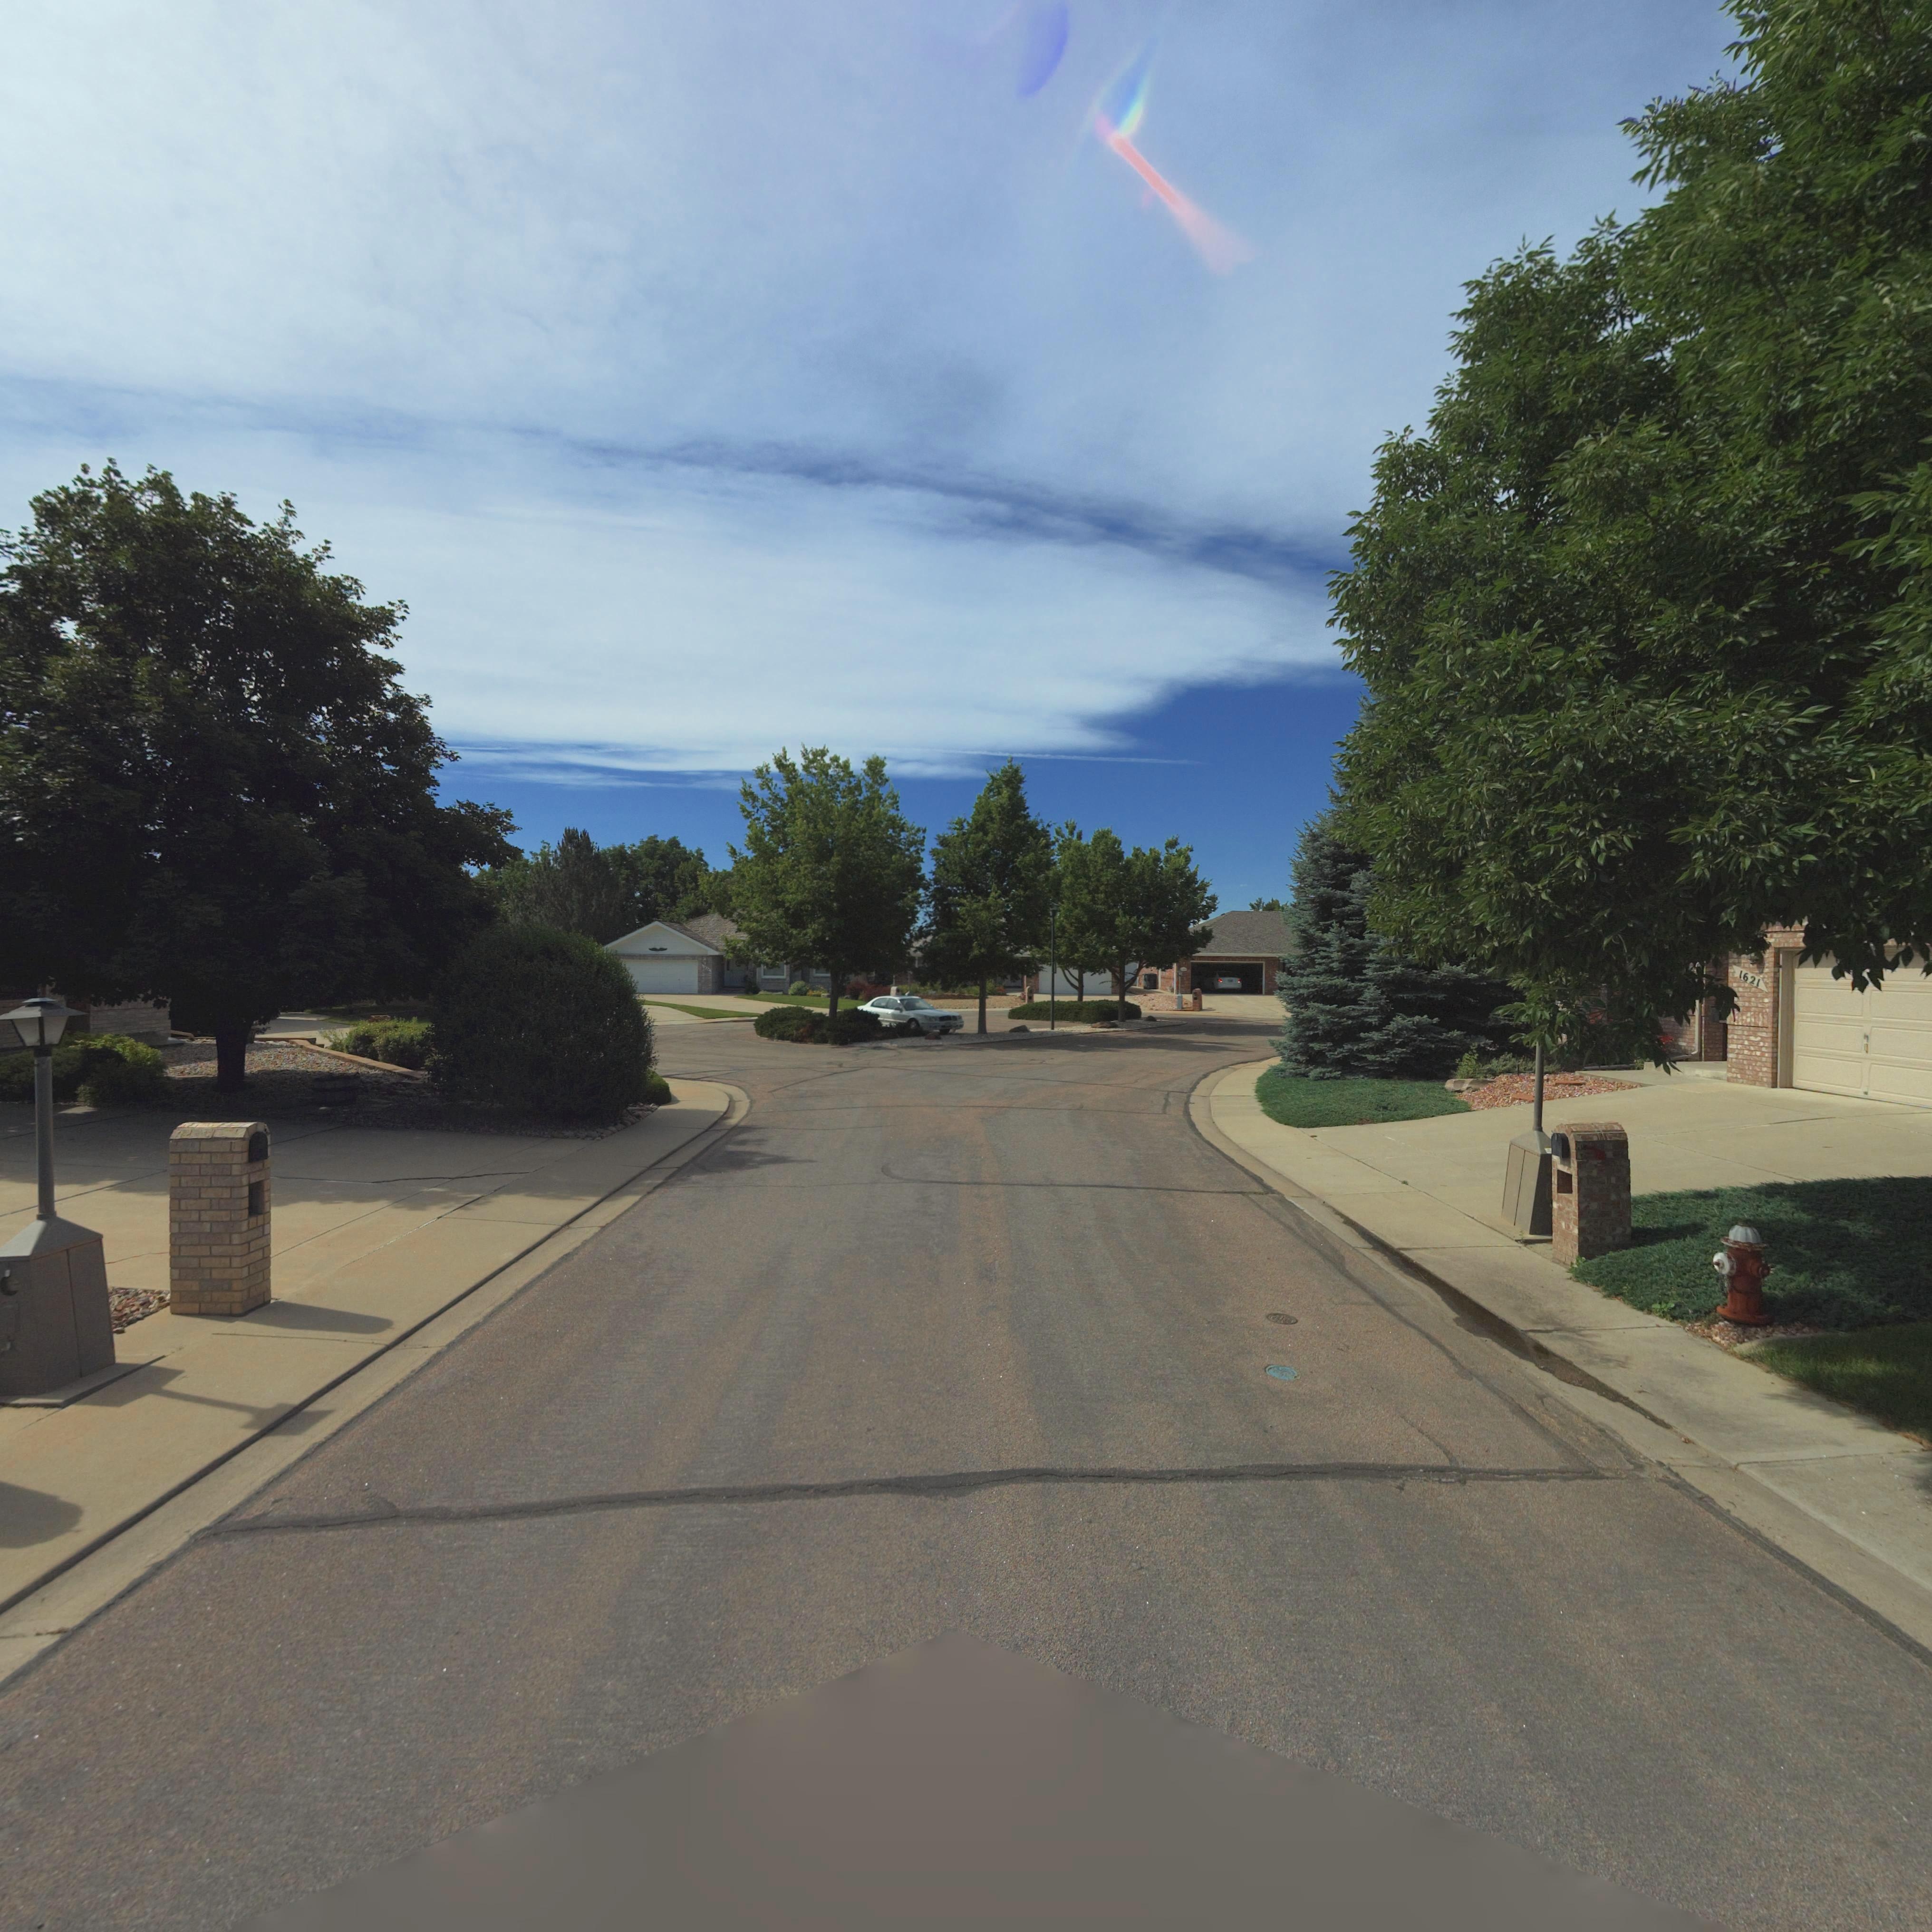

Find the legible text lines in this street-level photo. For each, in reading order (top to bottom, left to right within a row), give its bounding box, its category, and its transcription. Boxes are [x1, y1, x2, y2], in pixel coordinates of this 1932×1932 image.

[1739, 970, 1760, 987] StreetNumber: 1621